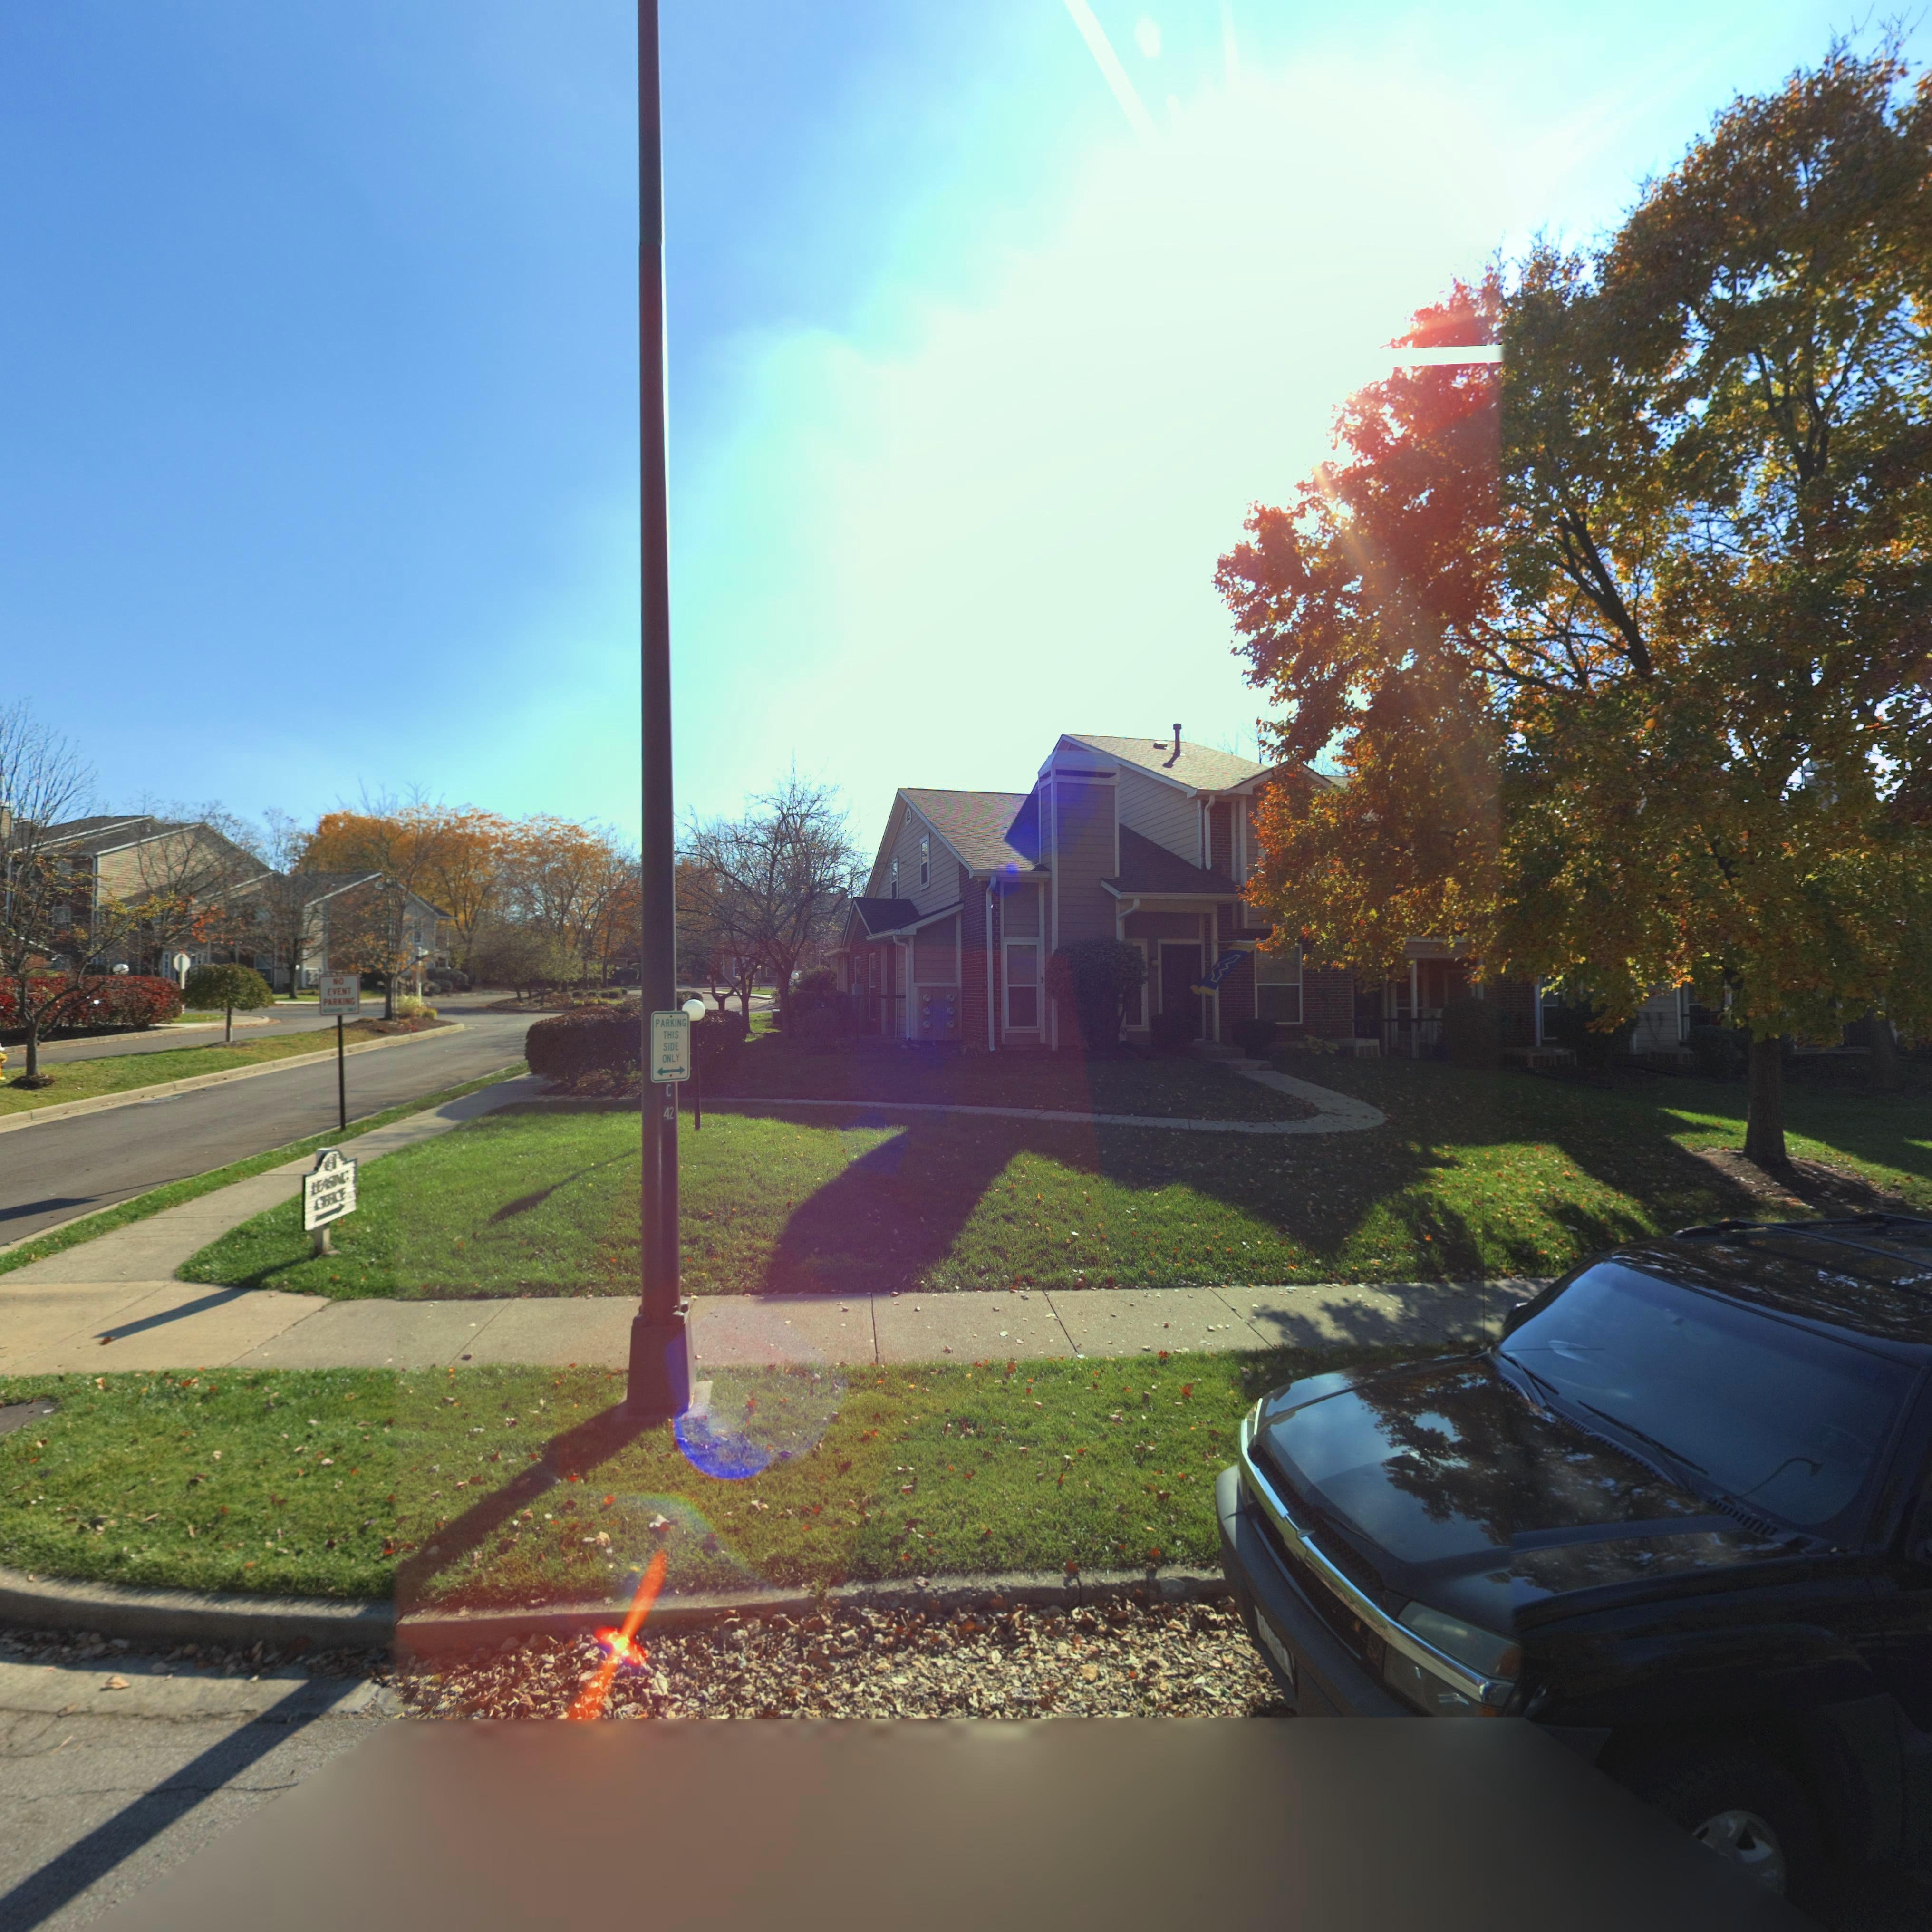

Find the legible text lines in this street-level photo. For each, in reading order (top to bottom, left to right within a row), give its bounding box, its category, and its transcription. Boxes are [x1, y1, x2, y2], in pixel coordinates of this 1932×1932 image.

[332, 977, 344, 985] None: NO
[327, 987, 352, 995] None: EVENT
[323, 997, 355, 1006] None: PARKING
[654, 1018, 686, 1028] None: PARKING
[663, 1029, 679, 1039] None: THIS
[662, 1041, 679, 1051] None: SIDE
[661, 1053, 680, 1063] None: ONLY
[665, 1083, 672, 1098] None: C
[663, 1105, 675, 1119] None: 42
[311, 1169, 350, 1197] None: LEASING
[314, 1186, 347, 1213] None: OFFICE